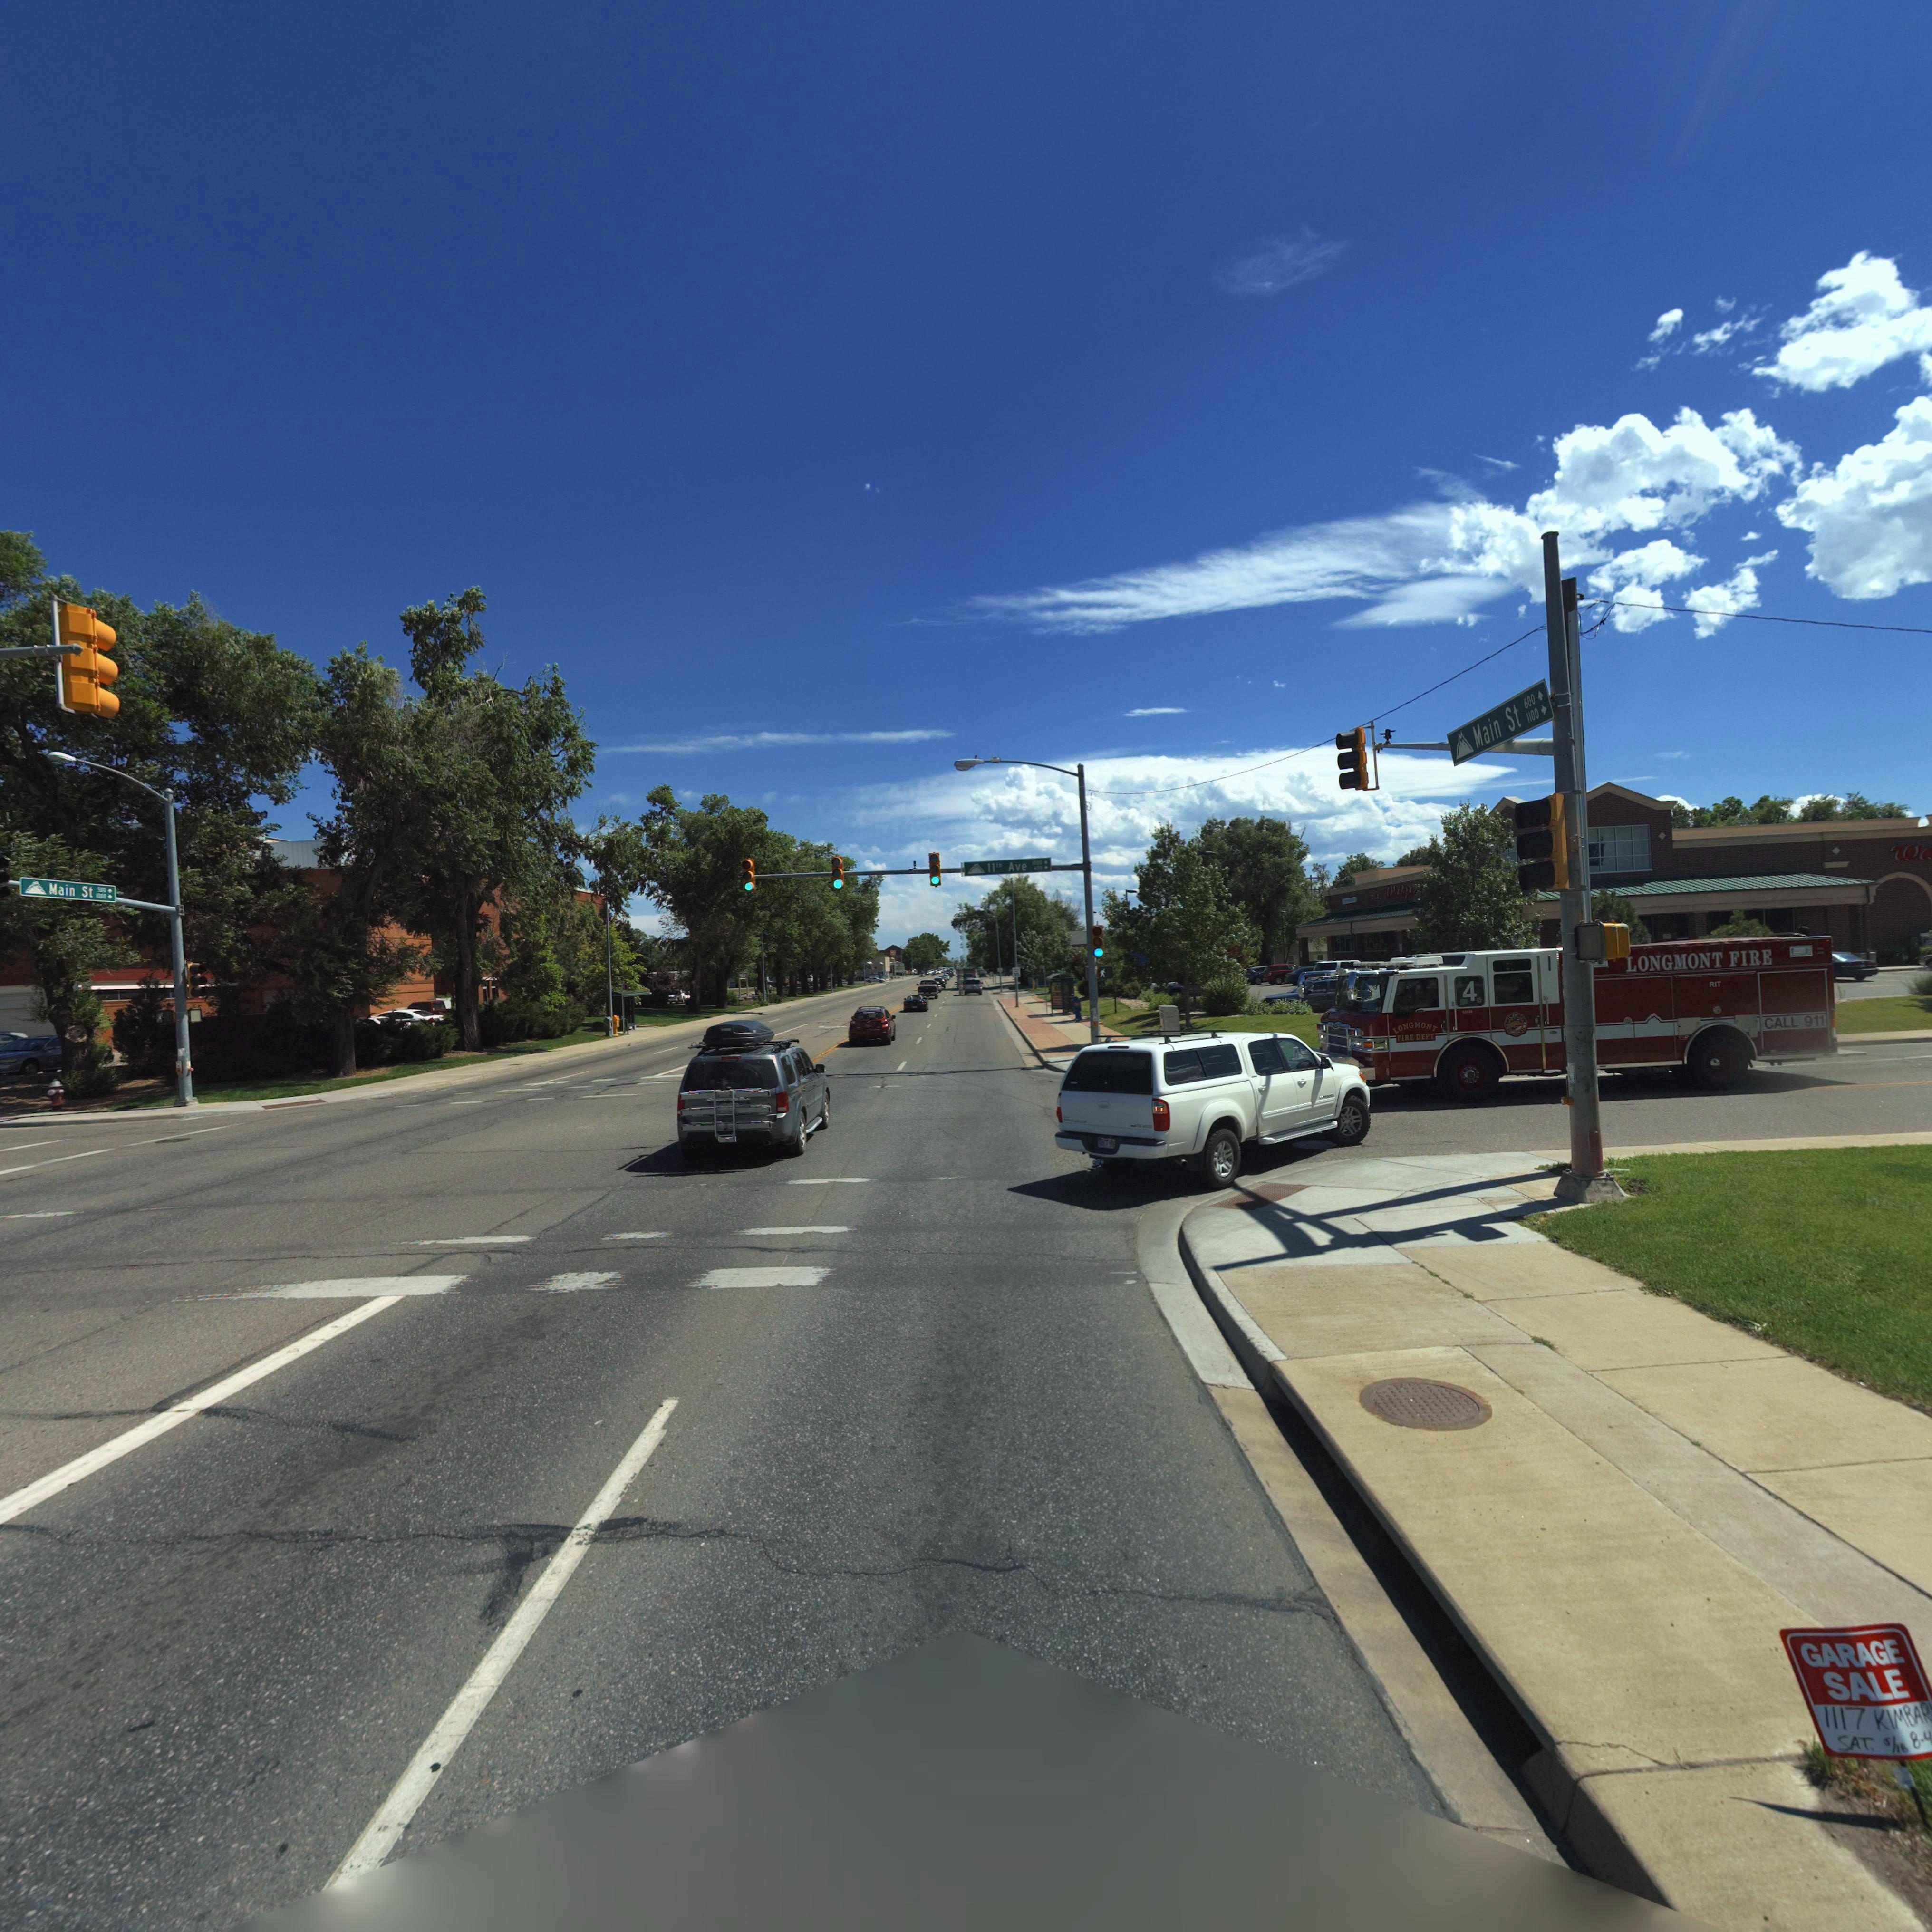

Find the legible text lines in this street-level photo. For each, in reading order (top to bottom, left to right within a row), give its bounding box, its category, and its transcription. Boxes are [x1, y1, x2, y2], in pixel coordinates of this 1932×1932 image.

[1524, 693, 1536, 709] StreetNumberRange: 600
[1526, 705, 1547, 723] StreetNumberRange: 1100->
[1472, 704, 1522, 749] StreetName: Main St
[1892, 844, 1931, 860] BusinessName: Wa
[987, 861, 1027, 872] StreetName: 11th Ave
[1033, 865, 1048, 870] StreetNumberRange: *00 ->
[48, 882, 94, 898] StreetName: Main St
[97, 887, 106, 892] StreetNumberRange: 5**
[1383, 884, 1413, 901] BusinessName: Walgr